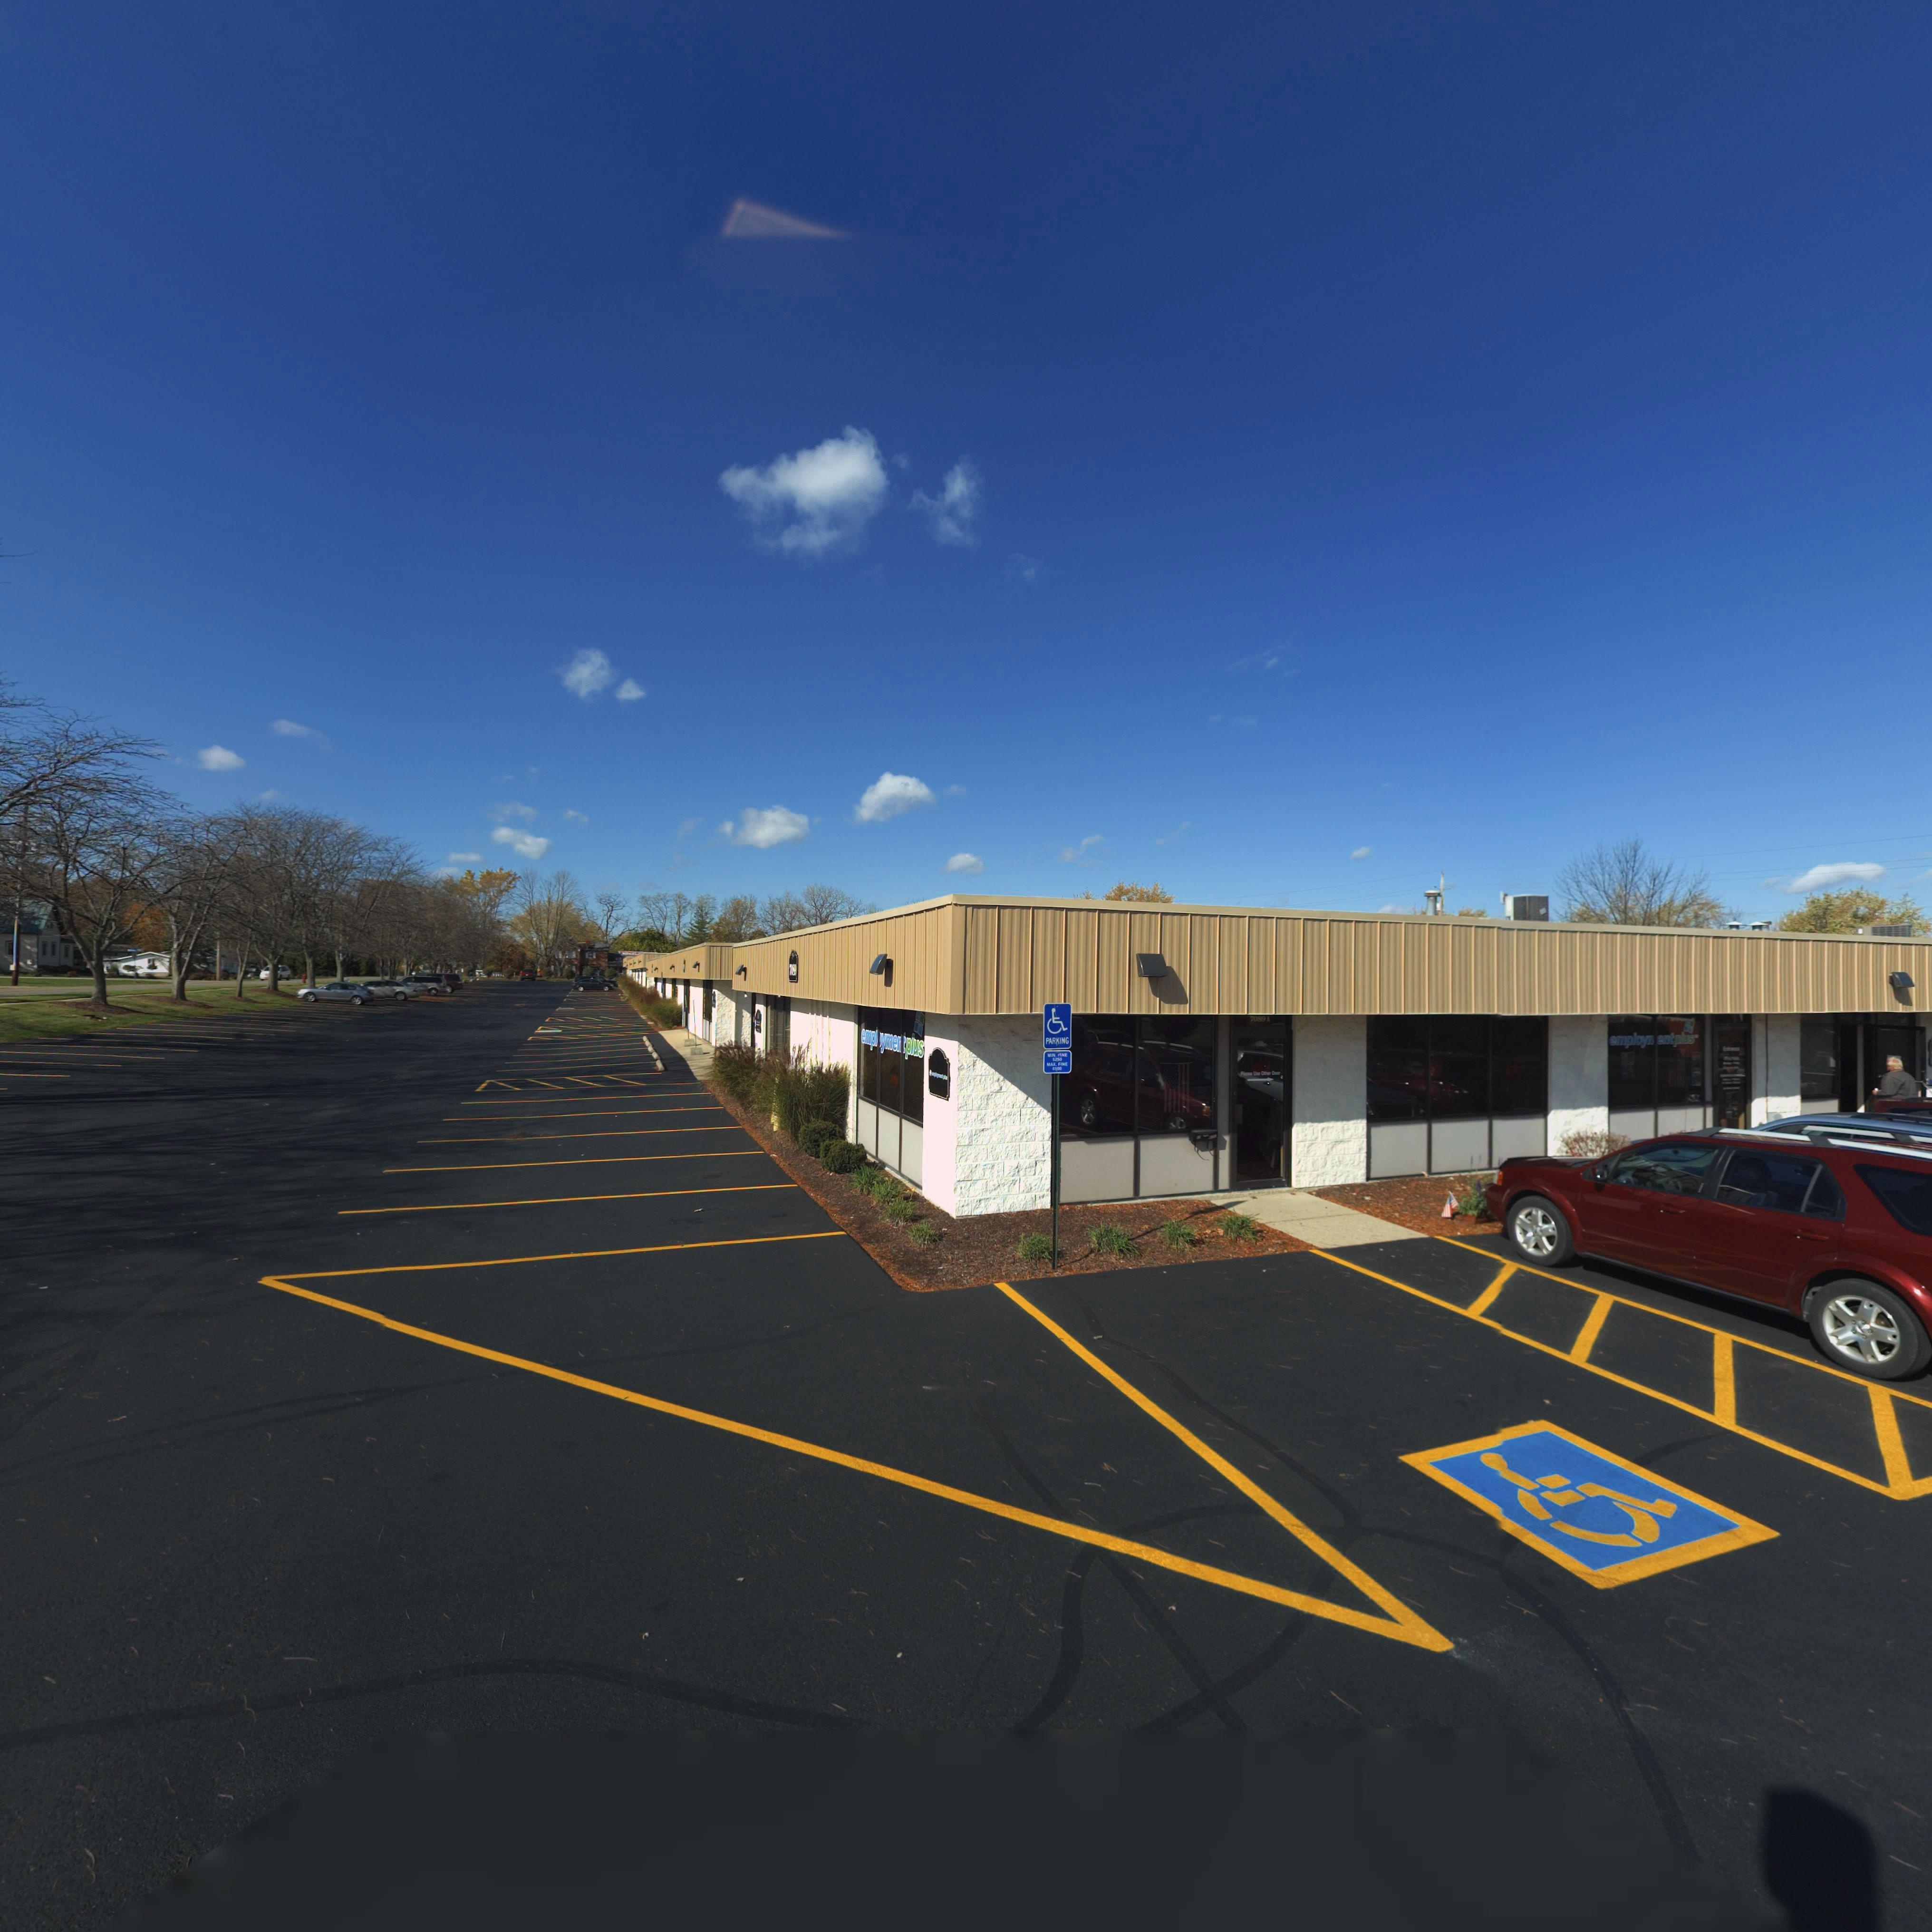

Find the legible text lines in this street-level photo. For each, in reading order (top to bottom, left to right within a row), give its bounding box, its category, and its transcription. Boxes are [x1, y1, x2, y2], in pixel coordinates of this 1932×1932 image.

[1248, 1014, 1272, 1023] StreetNumber: 7089 *